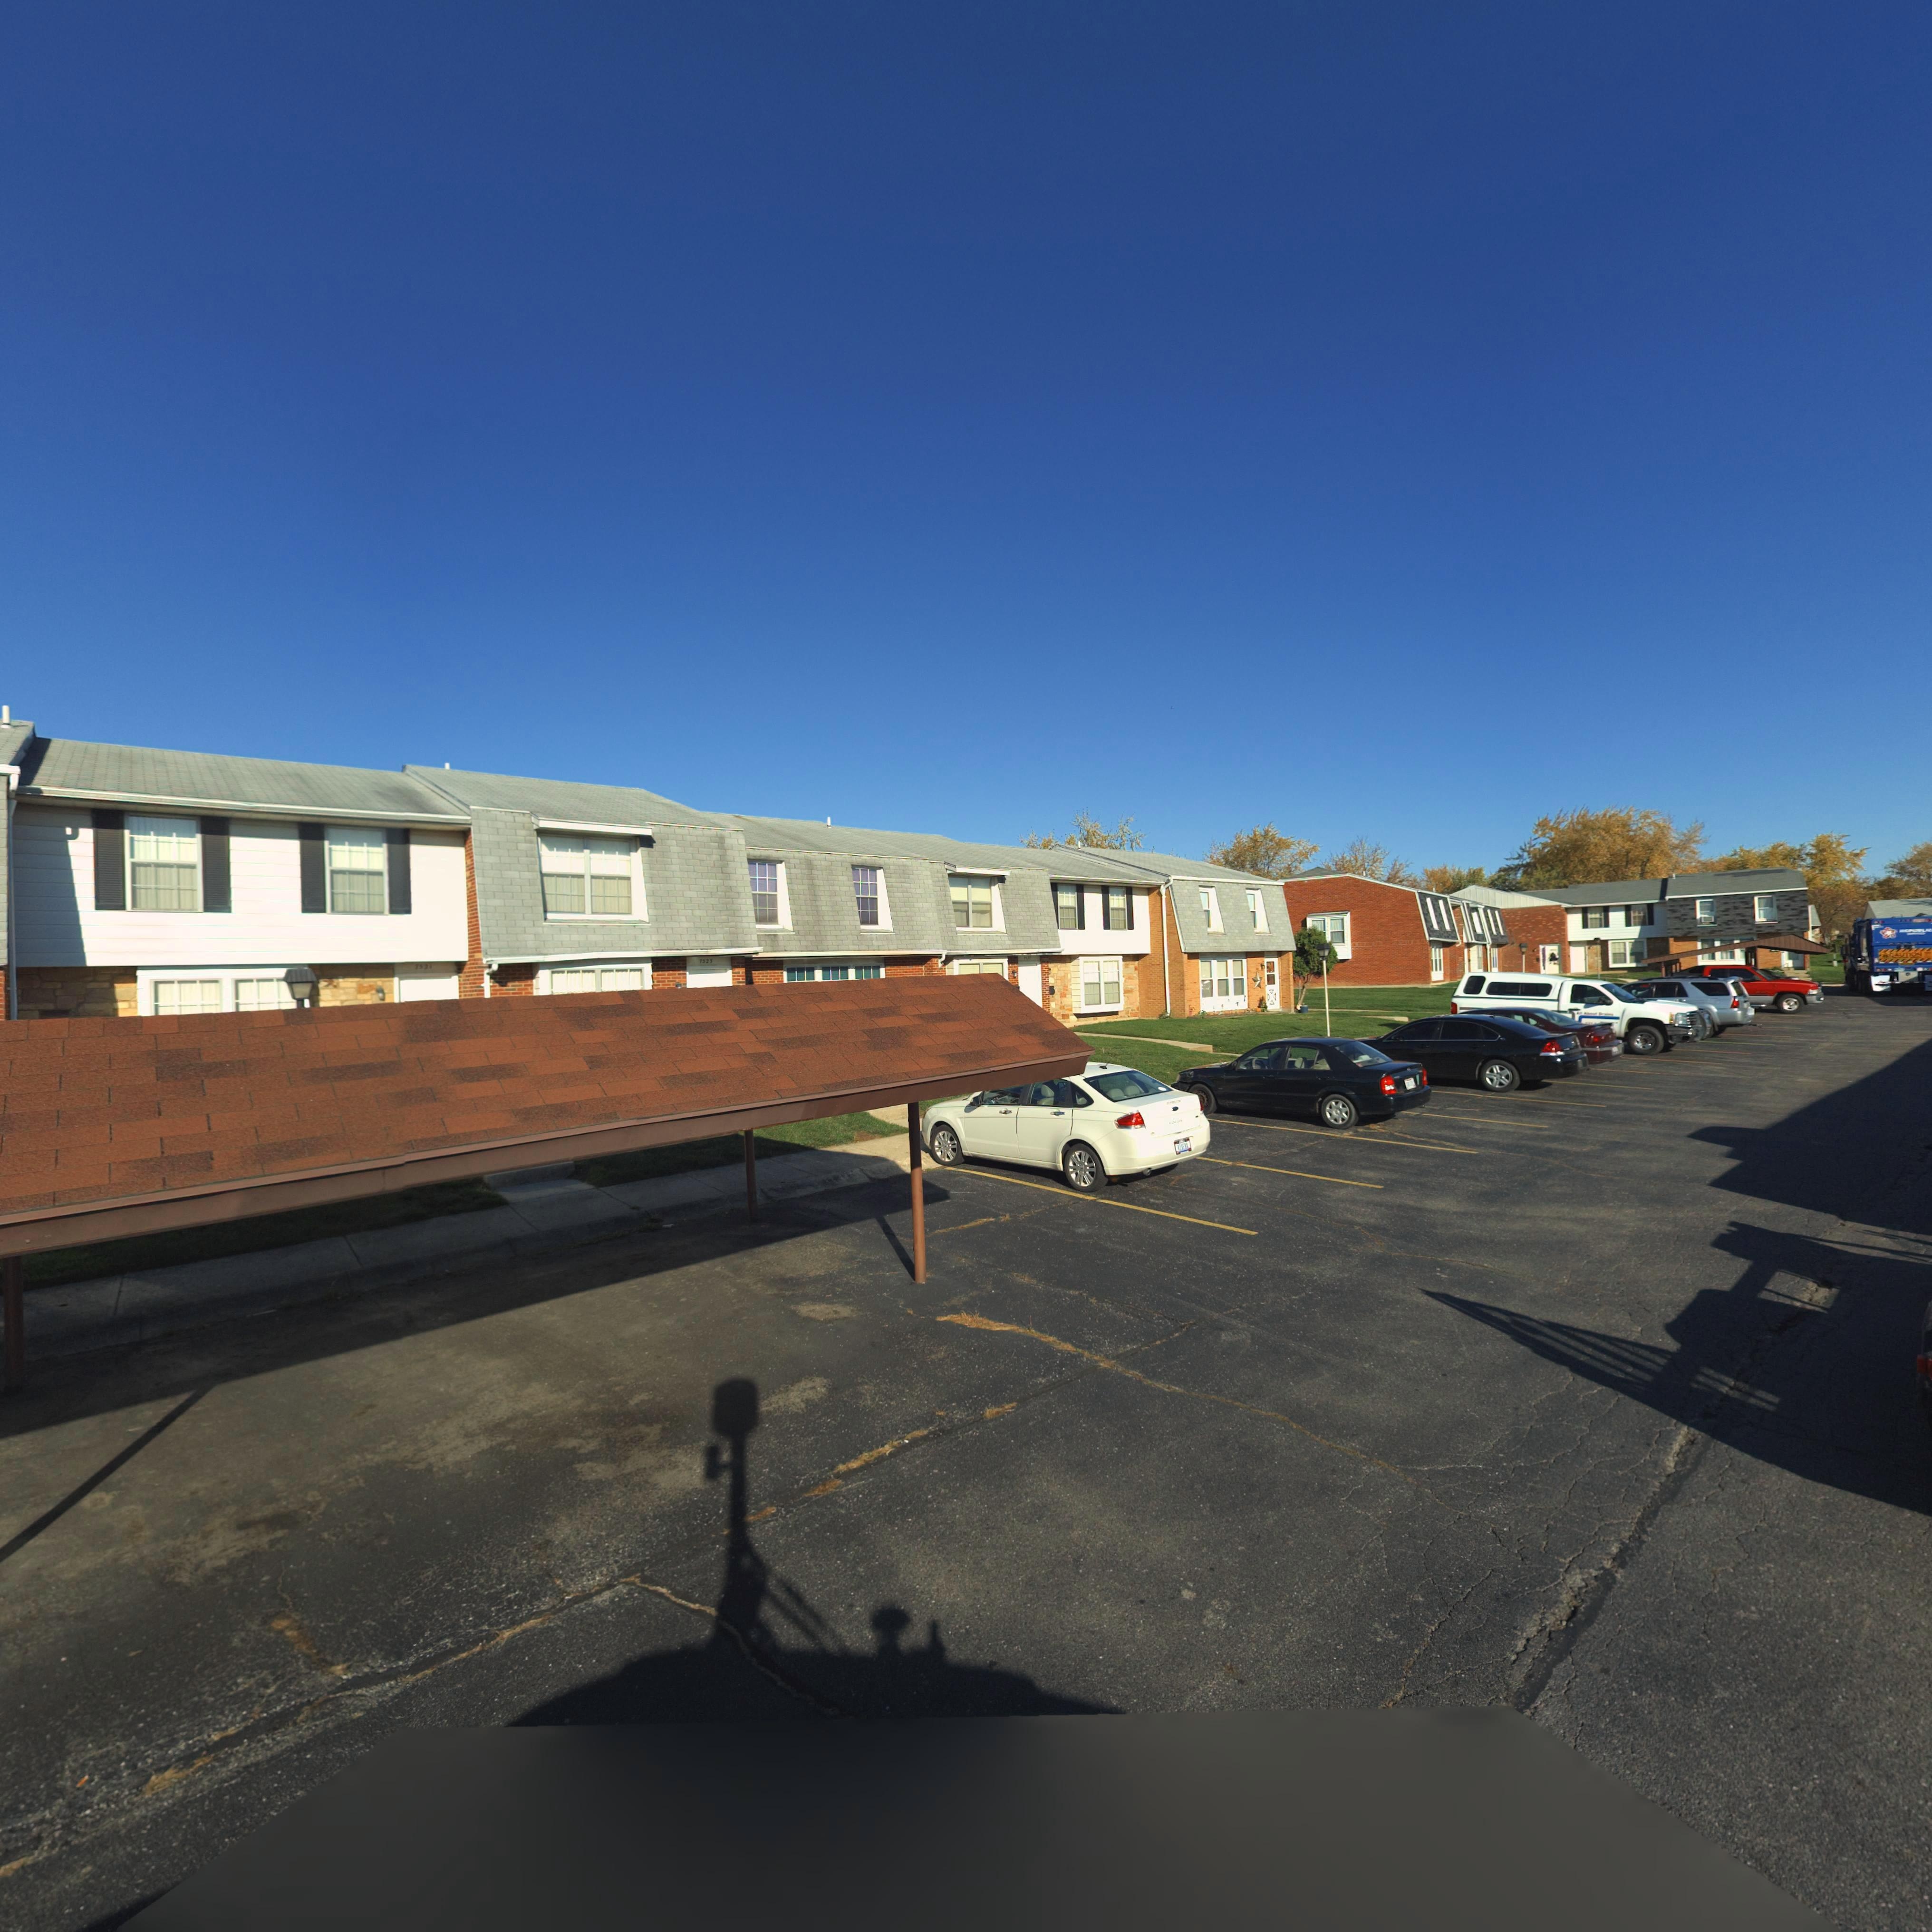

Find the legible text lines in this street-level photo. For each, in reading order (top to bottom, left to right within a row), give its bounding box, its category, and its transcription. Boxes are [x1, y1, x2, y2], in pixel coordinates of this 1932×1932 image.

[698, 958, 713, 964] StreetNumber: 7523
[1023, 956, 1032, 960] StreetNumber: 7527
[414, 963, 433, 970] StreetNumber: 7521